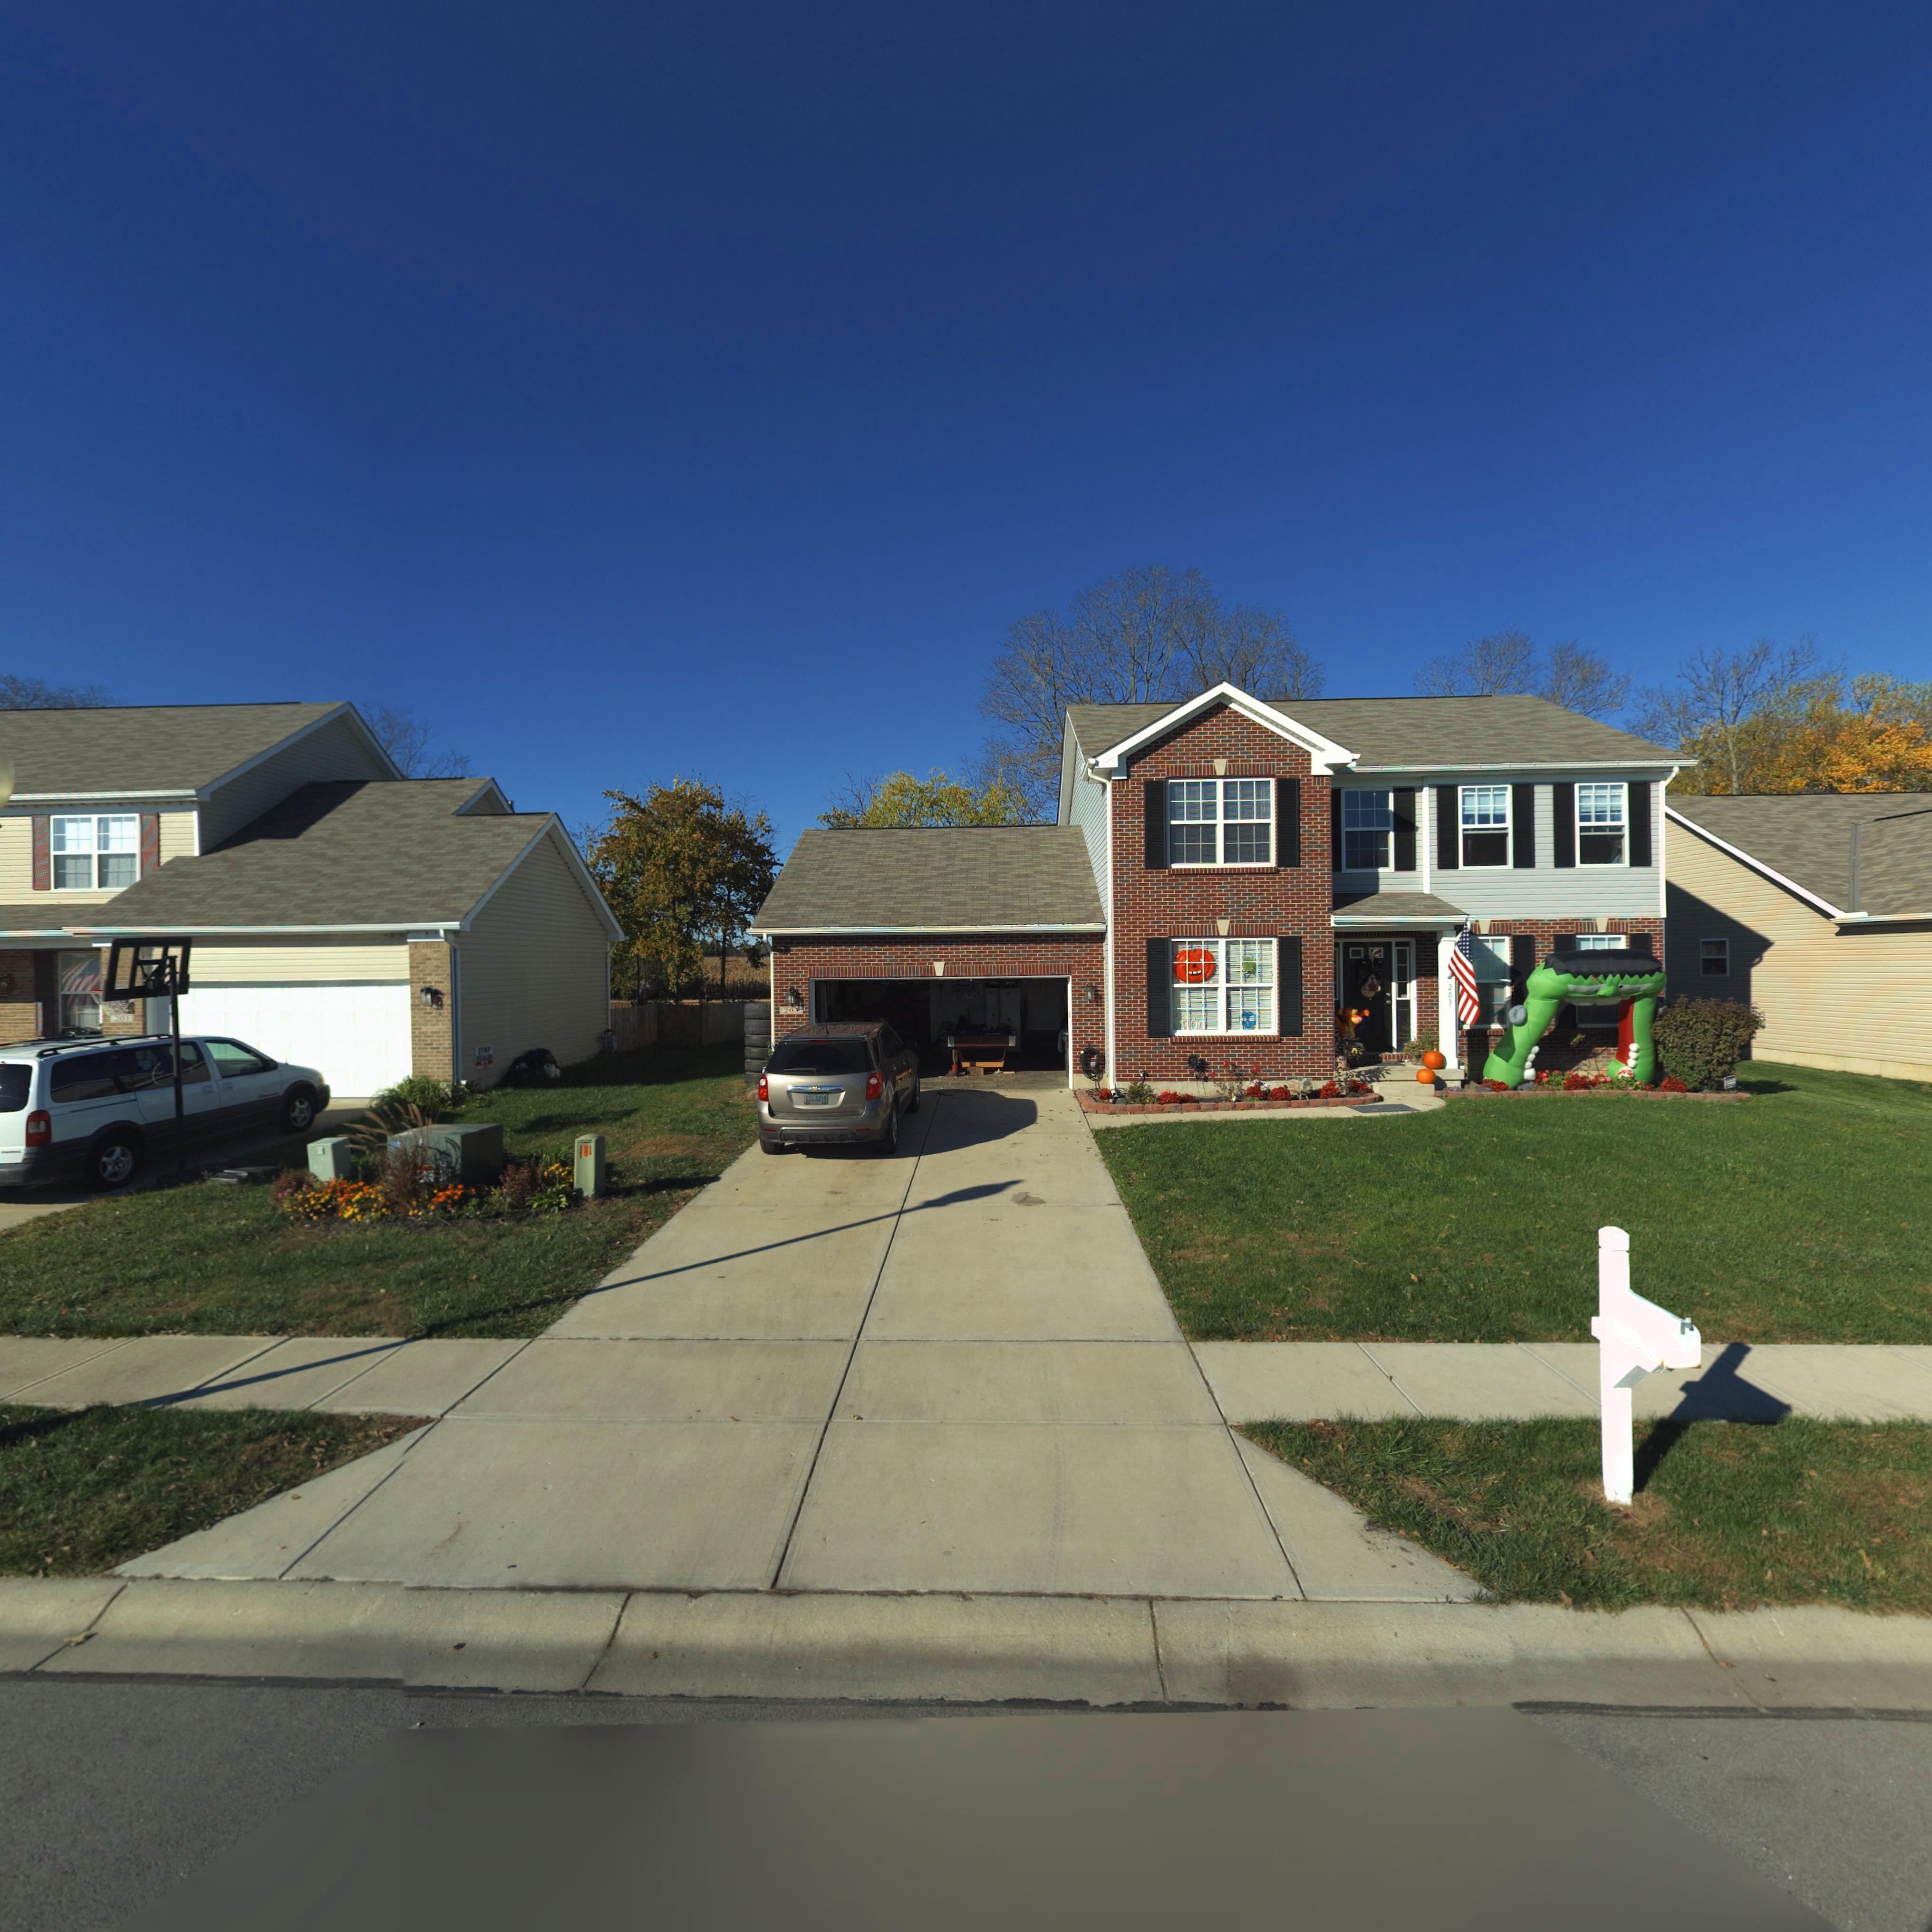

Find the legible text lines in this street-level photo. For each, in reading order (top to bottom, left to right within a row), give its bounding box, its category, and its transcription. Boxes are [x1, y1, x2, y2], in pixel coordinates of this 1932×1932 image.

[1447, 983, 1453, 1007] StreetNumber: 203
[783, 1007, 794, 1014] StreetNumber: 20
[114, 1015, 130, 1022] StreetNumber: 201